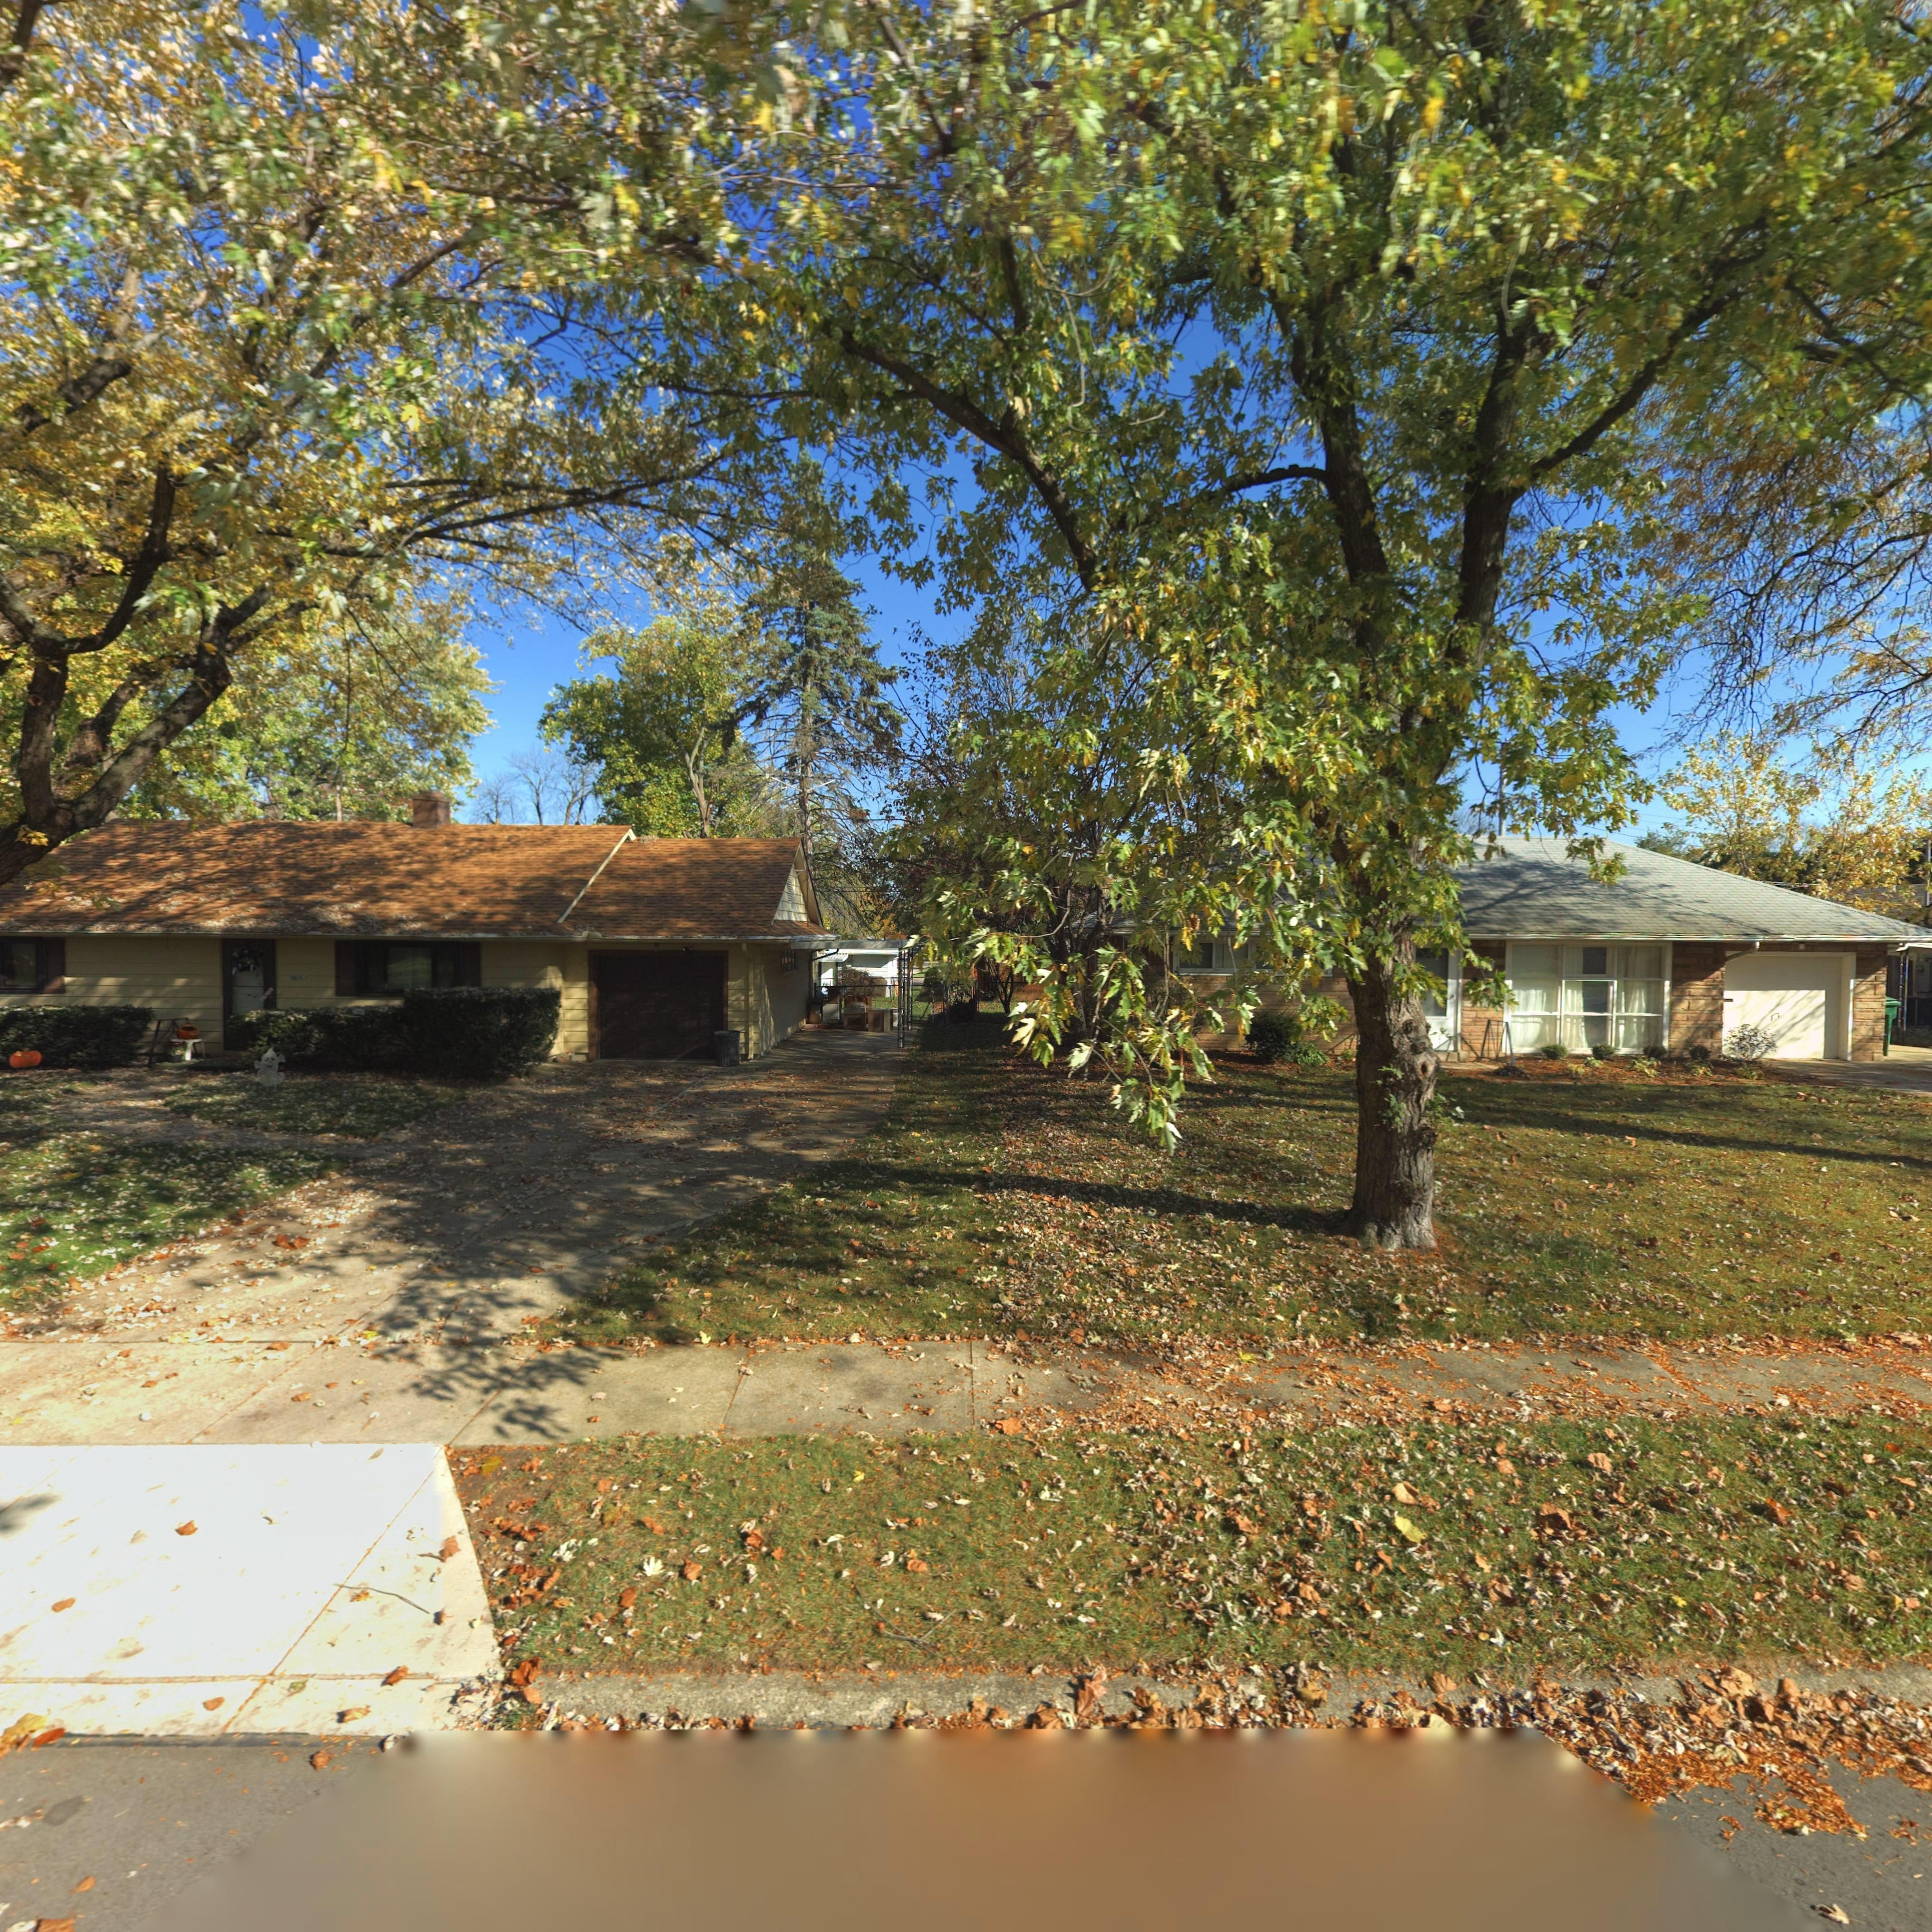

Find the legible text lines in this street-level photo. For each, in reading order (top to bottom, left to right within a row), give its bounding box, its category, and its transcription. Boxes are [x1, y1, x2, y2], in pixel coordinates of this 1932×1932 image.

[289, 974, 302, 980] StreetNumber: 3814